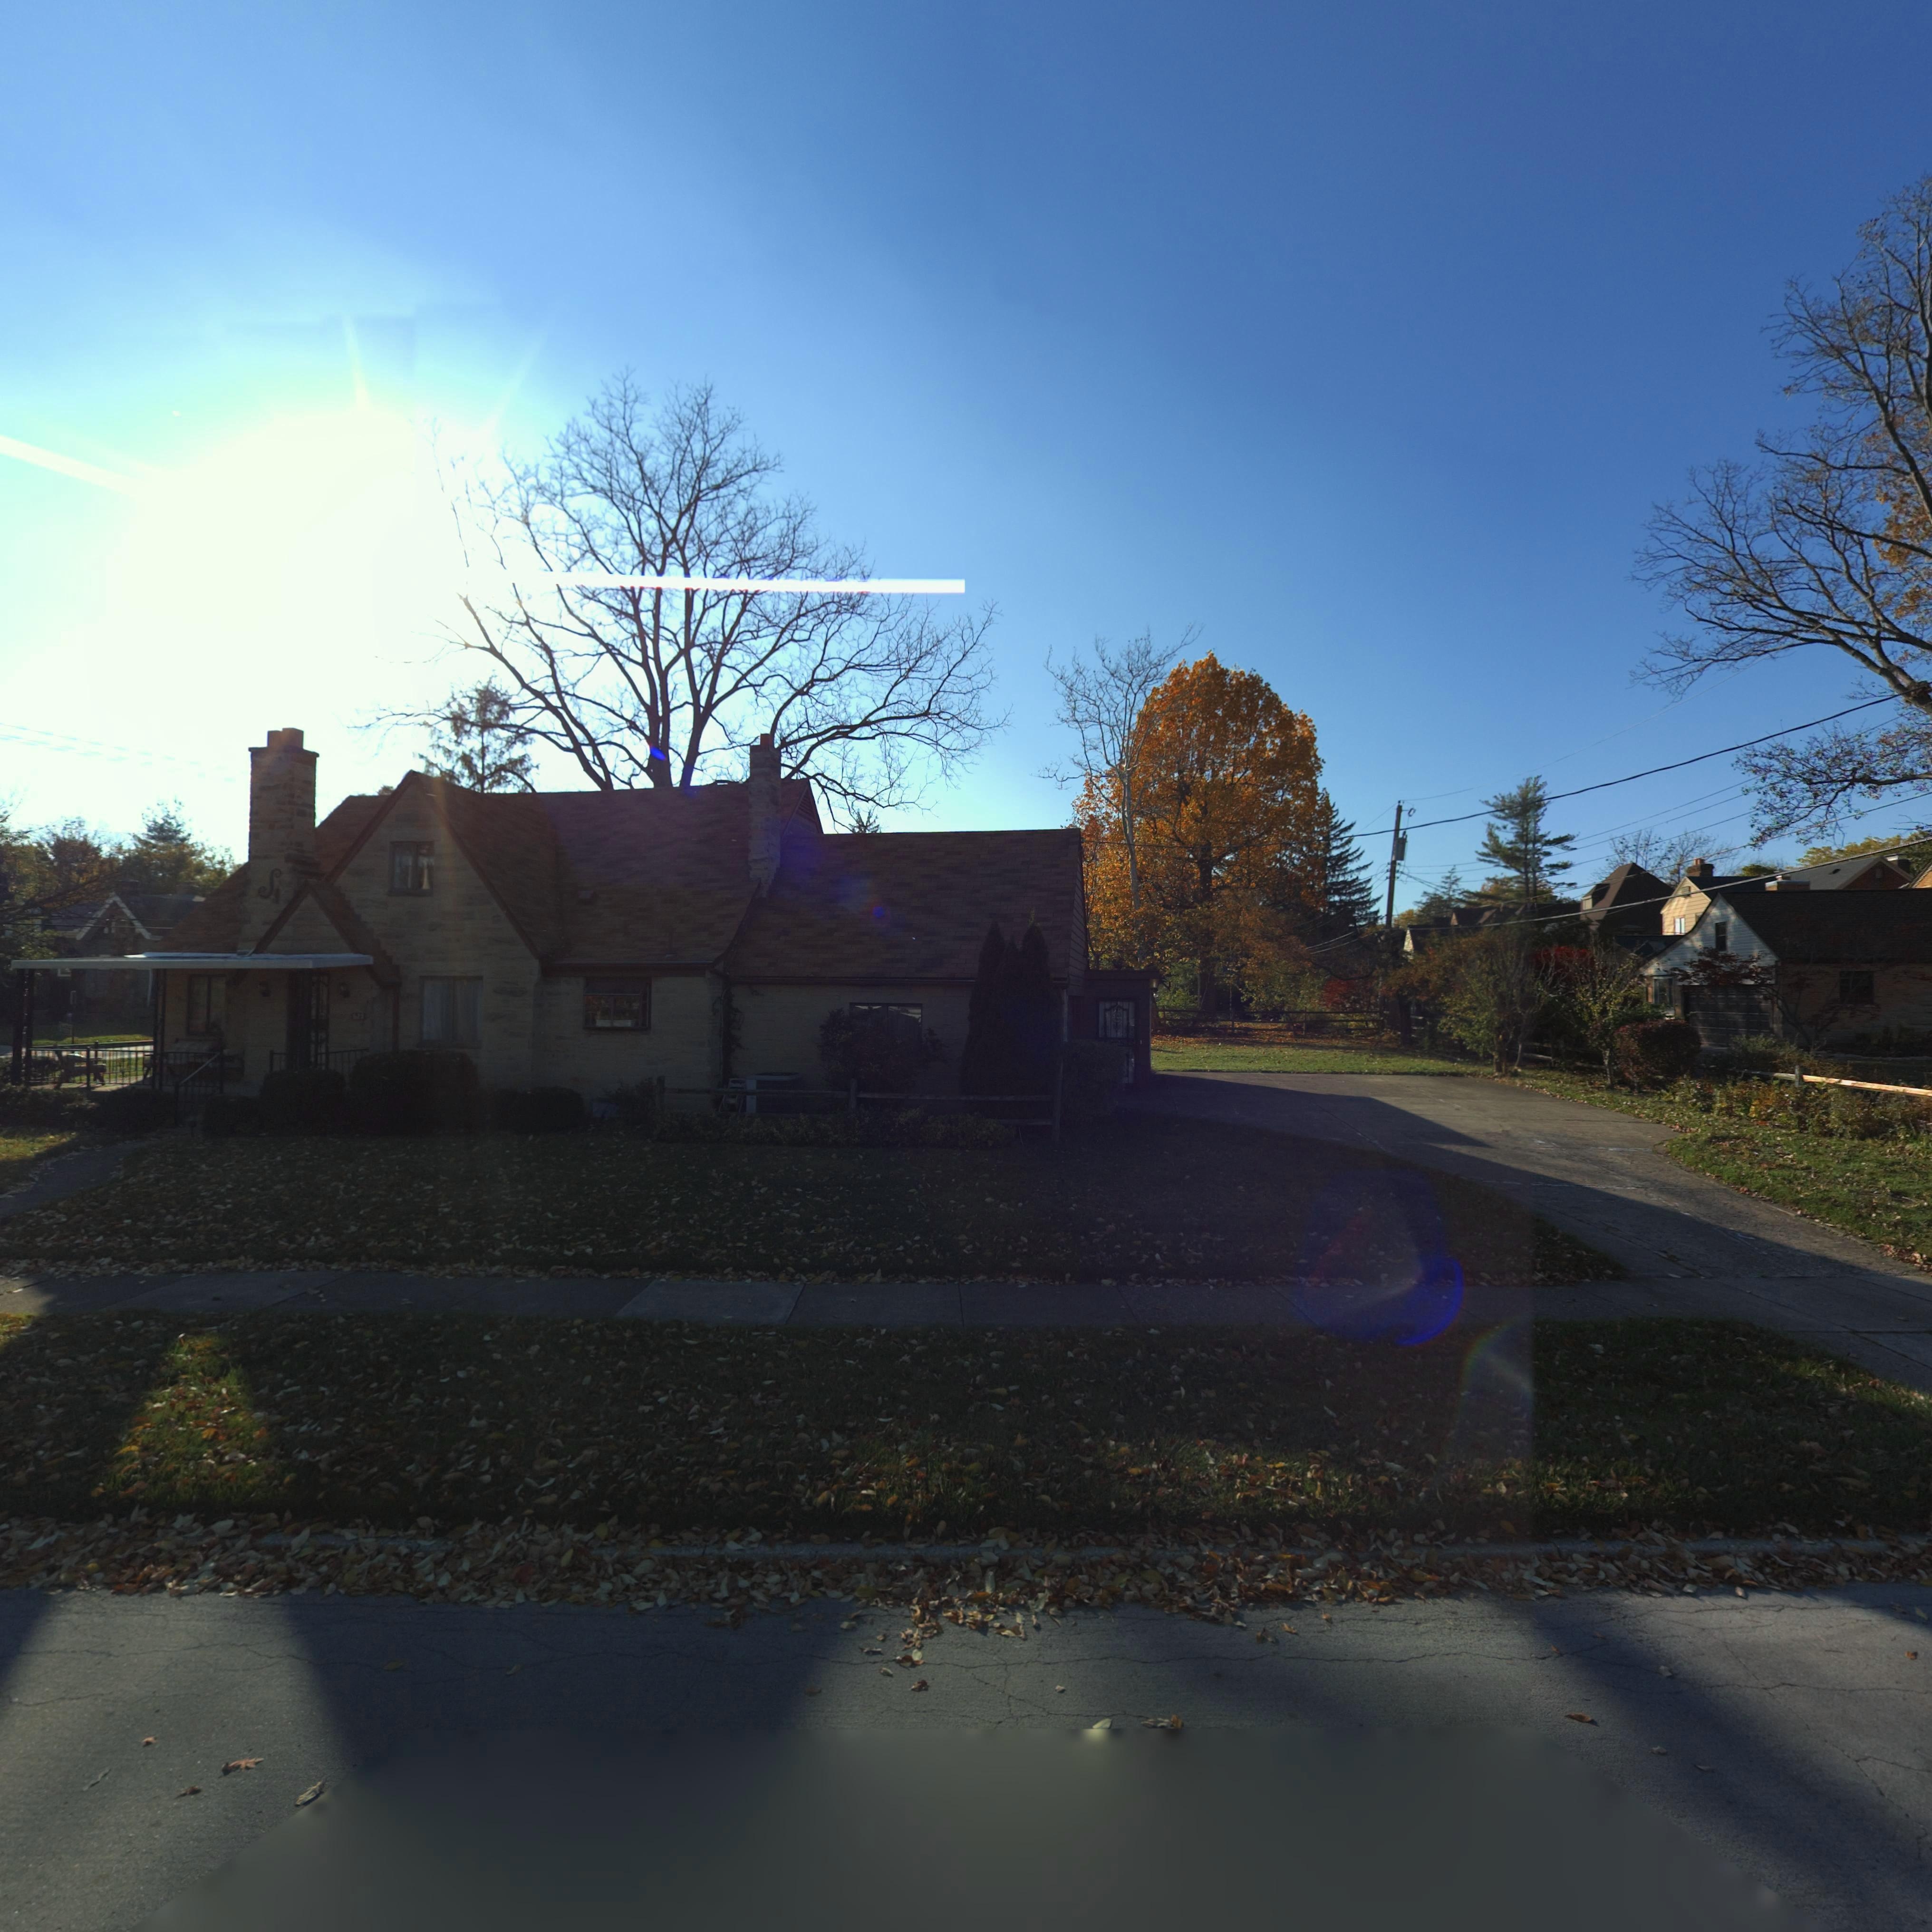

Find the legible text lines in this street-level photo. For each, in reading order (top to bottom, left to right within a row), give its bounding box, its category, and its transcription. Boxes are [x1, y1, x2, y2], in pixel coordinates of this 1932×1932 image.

[351, 1013, 365, 1020] StreetNumber: 625